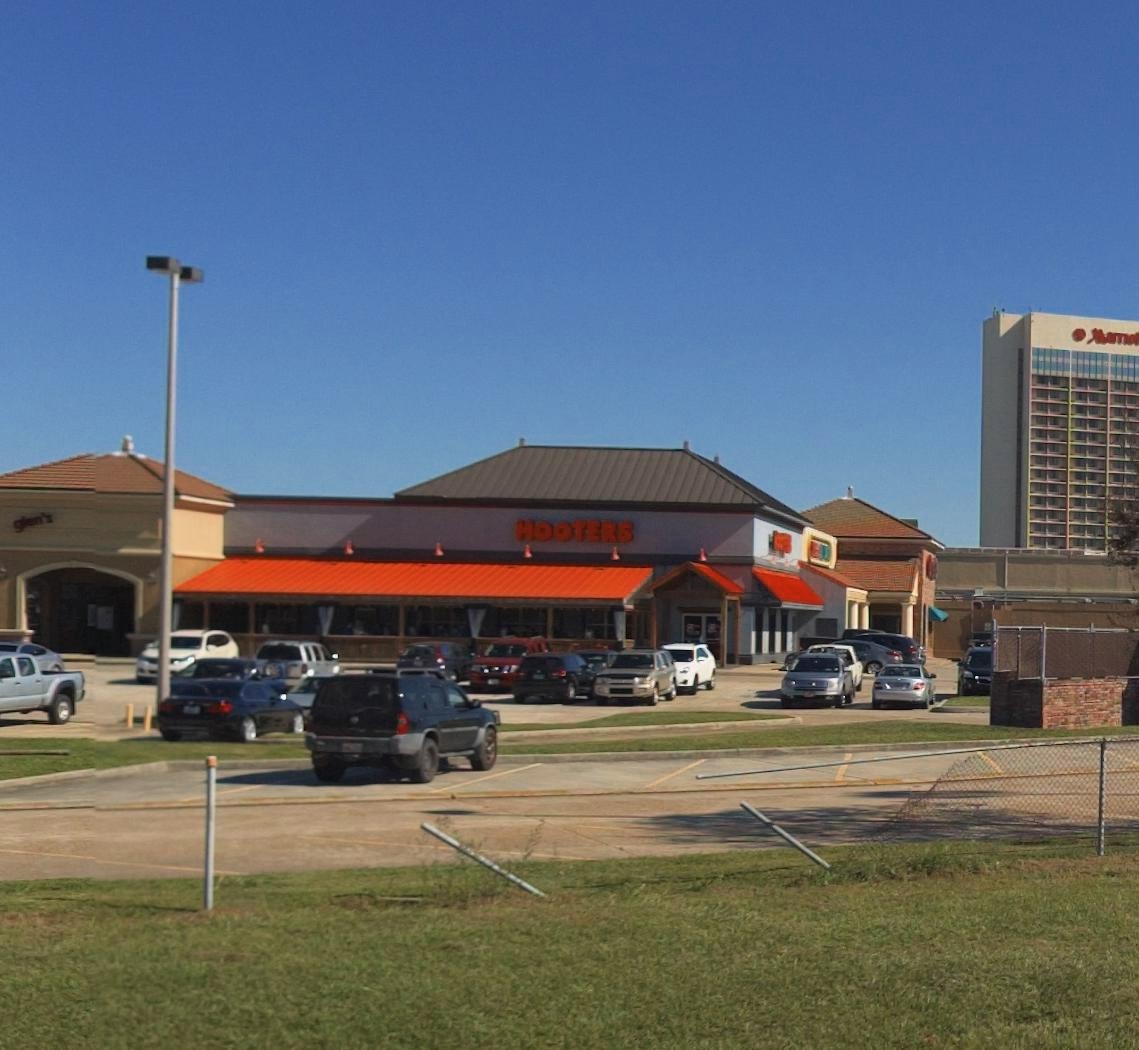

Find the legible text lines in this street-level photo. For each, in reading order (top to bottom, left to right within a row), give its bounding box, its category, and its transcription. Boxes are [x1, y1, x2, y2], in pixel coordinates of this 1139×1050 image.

[1085, 326, 1139, 347] BusinessName: Marriot
[13, 511, 55, 535] BusinessName: glen's
[515, 518, 635, 544] BusinessName: HOOTERS